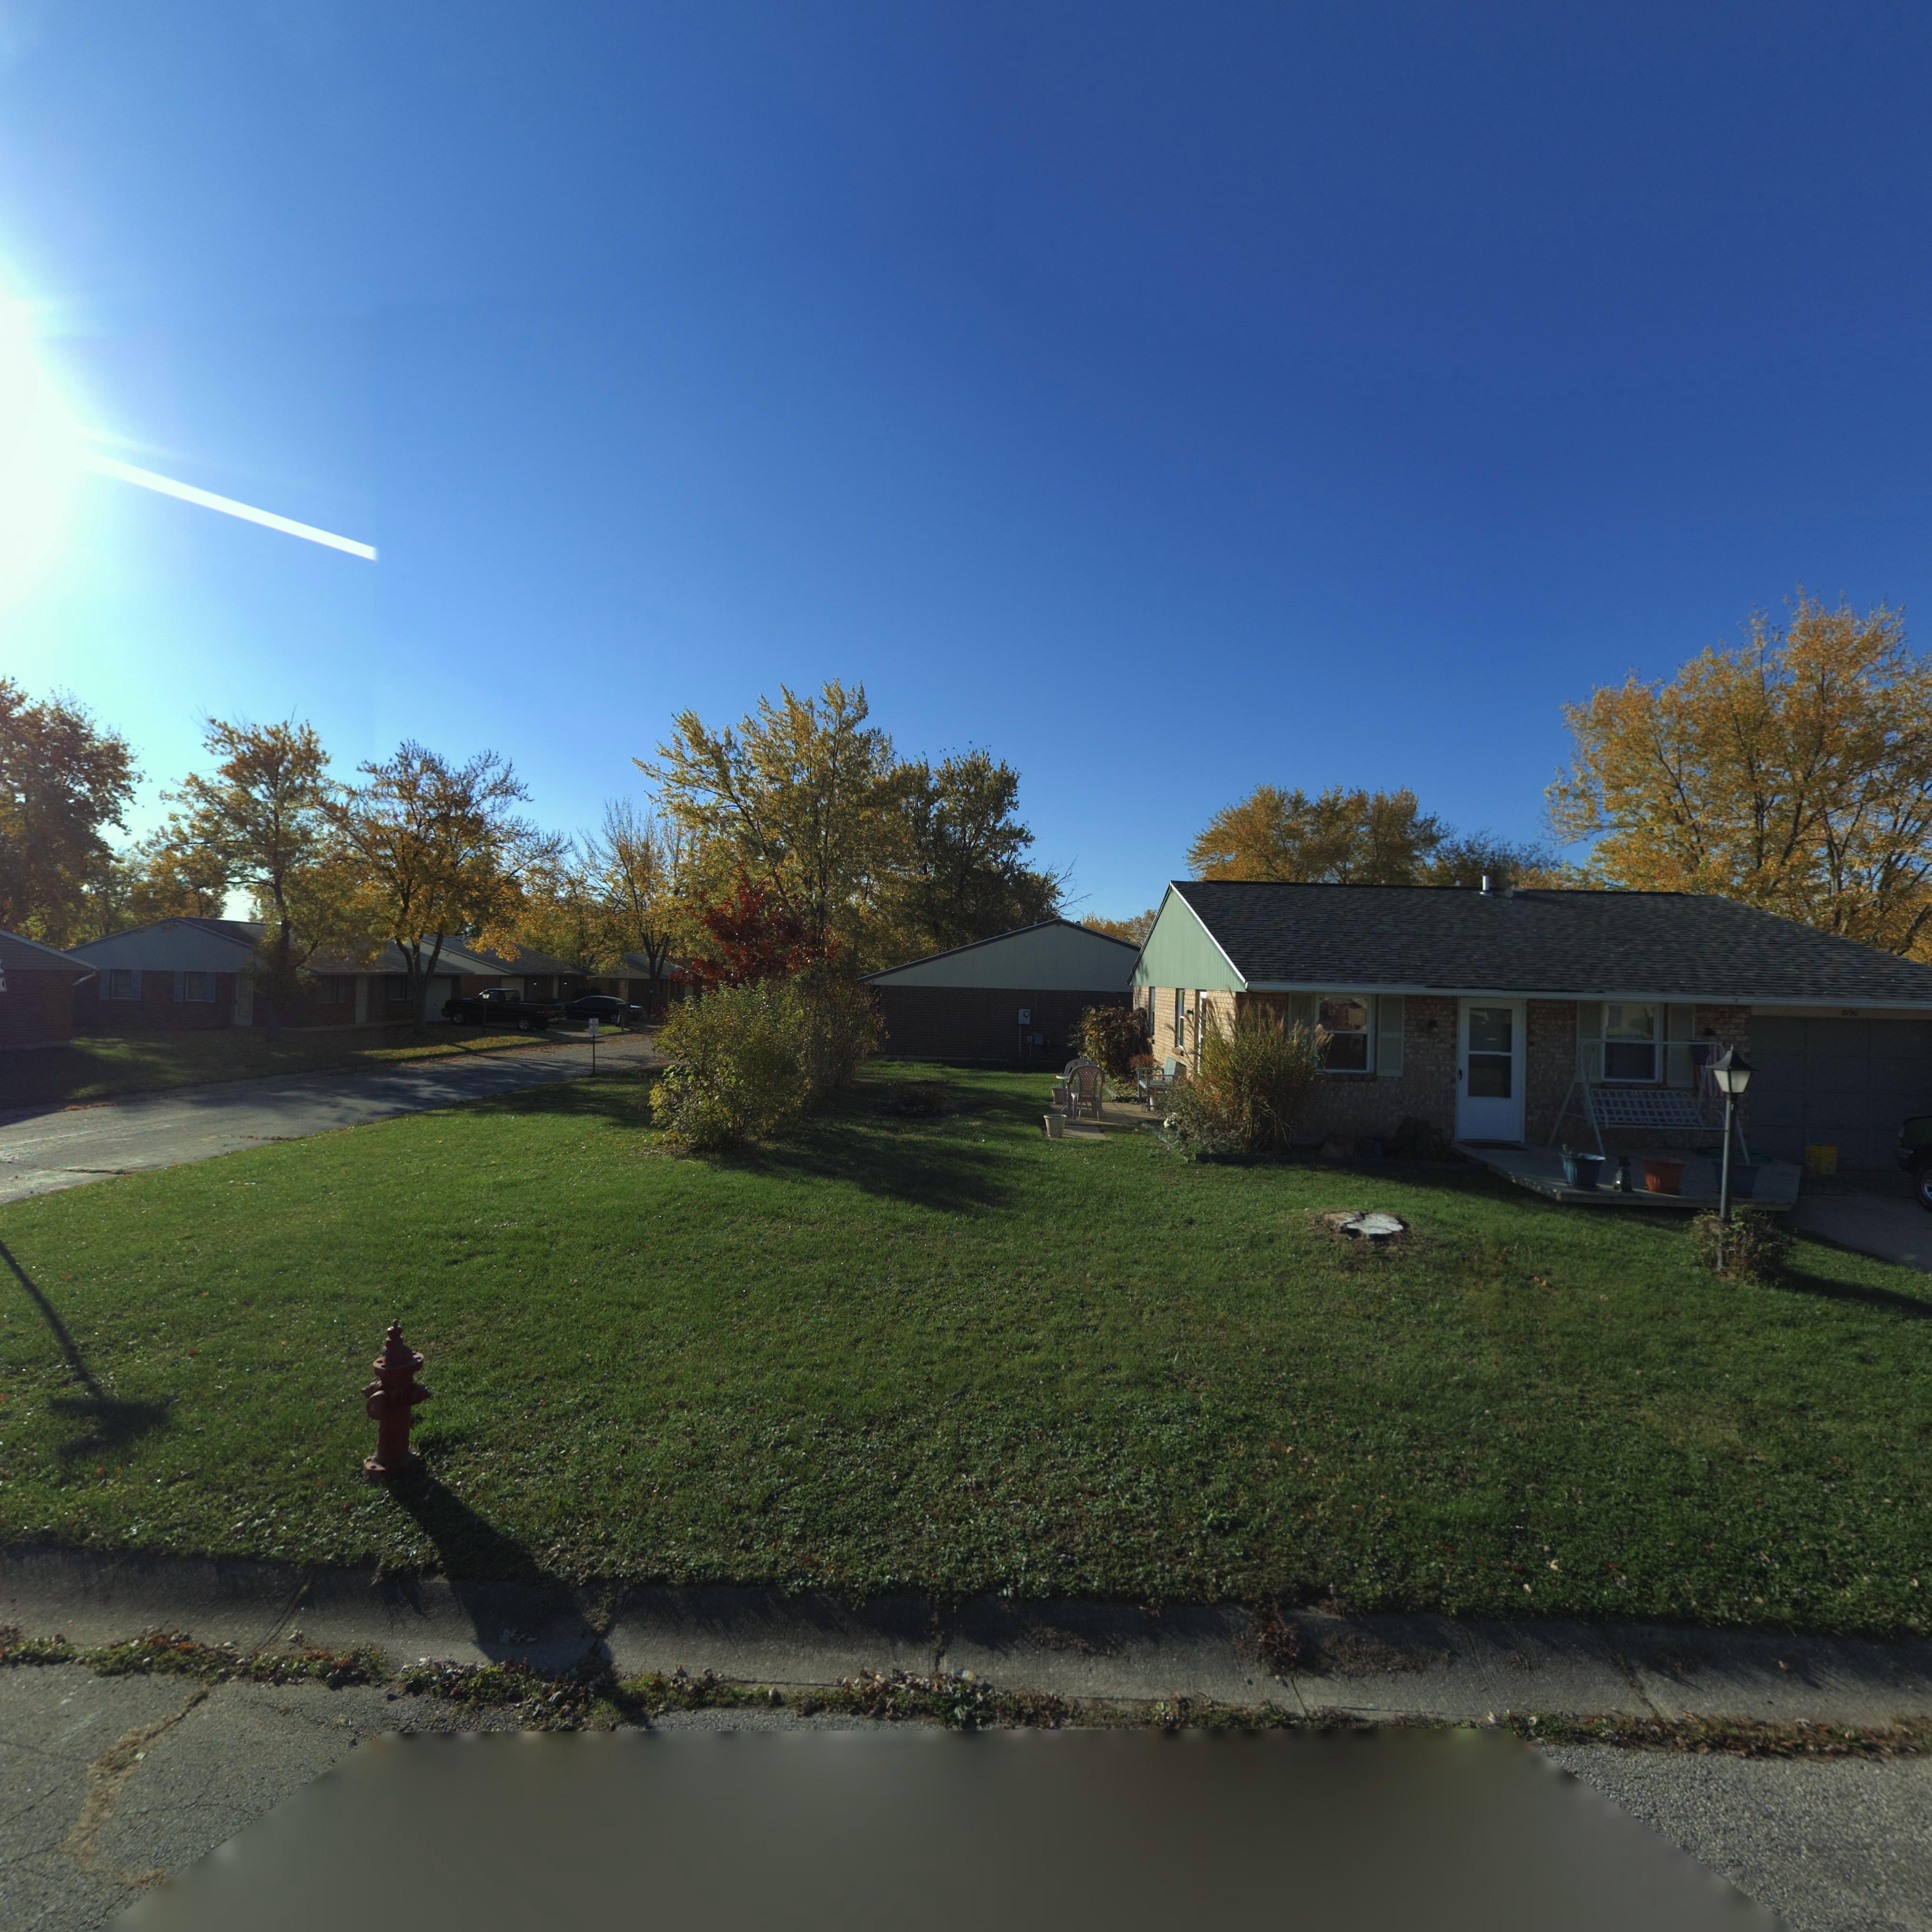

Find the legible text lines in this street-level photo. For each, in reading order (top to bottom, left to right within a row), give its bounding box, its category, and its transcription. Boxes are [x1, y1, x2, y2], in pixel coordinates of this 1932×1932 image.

[1841, 1009, 1859, 1016] StreetNumber: **90